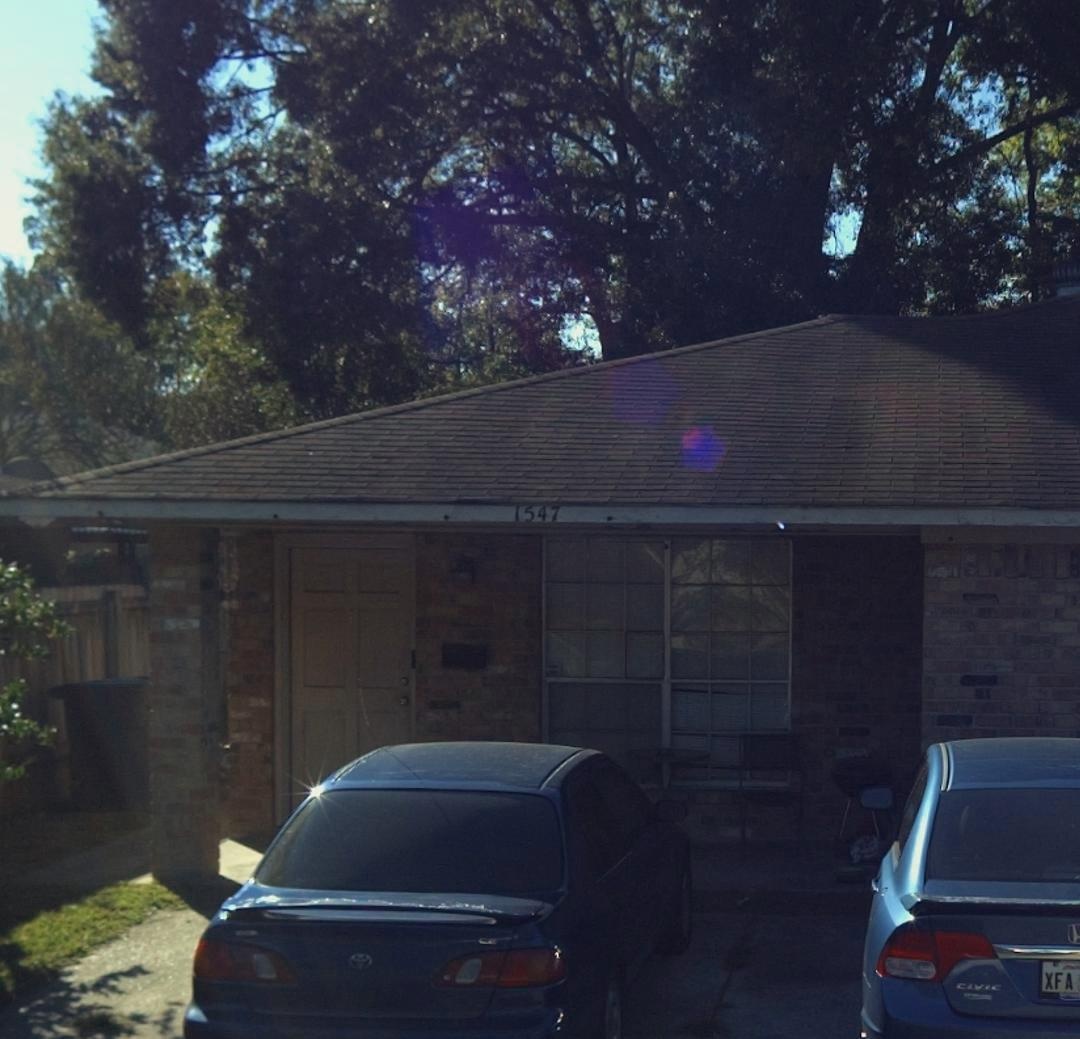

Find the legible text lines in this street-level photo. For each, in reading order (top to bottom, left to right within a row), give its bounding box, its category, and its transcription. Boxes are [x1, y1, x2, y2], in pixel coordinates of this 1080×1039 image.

[513, 504, 563, 523] StreetNumber: 1547
[954, 981, 1003, 992] None: CIVIC
[1043, 970, 1073, 991] None: XFA